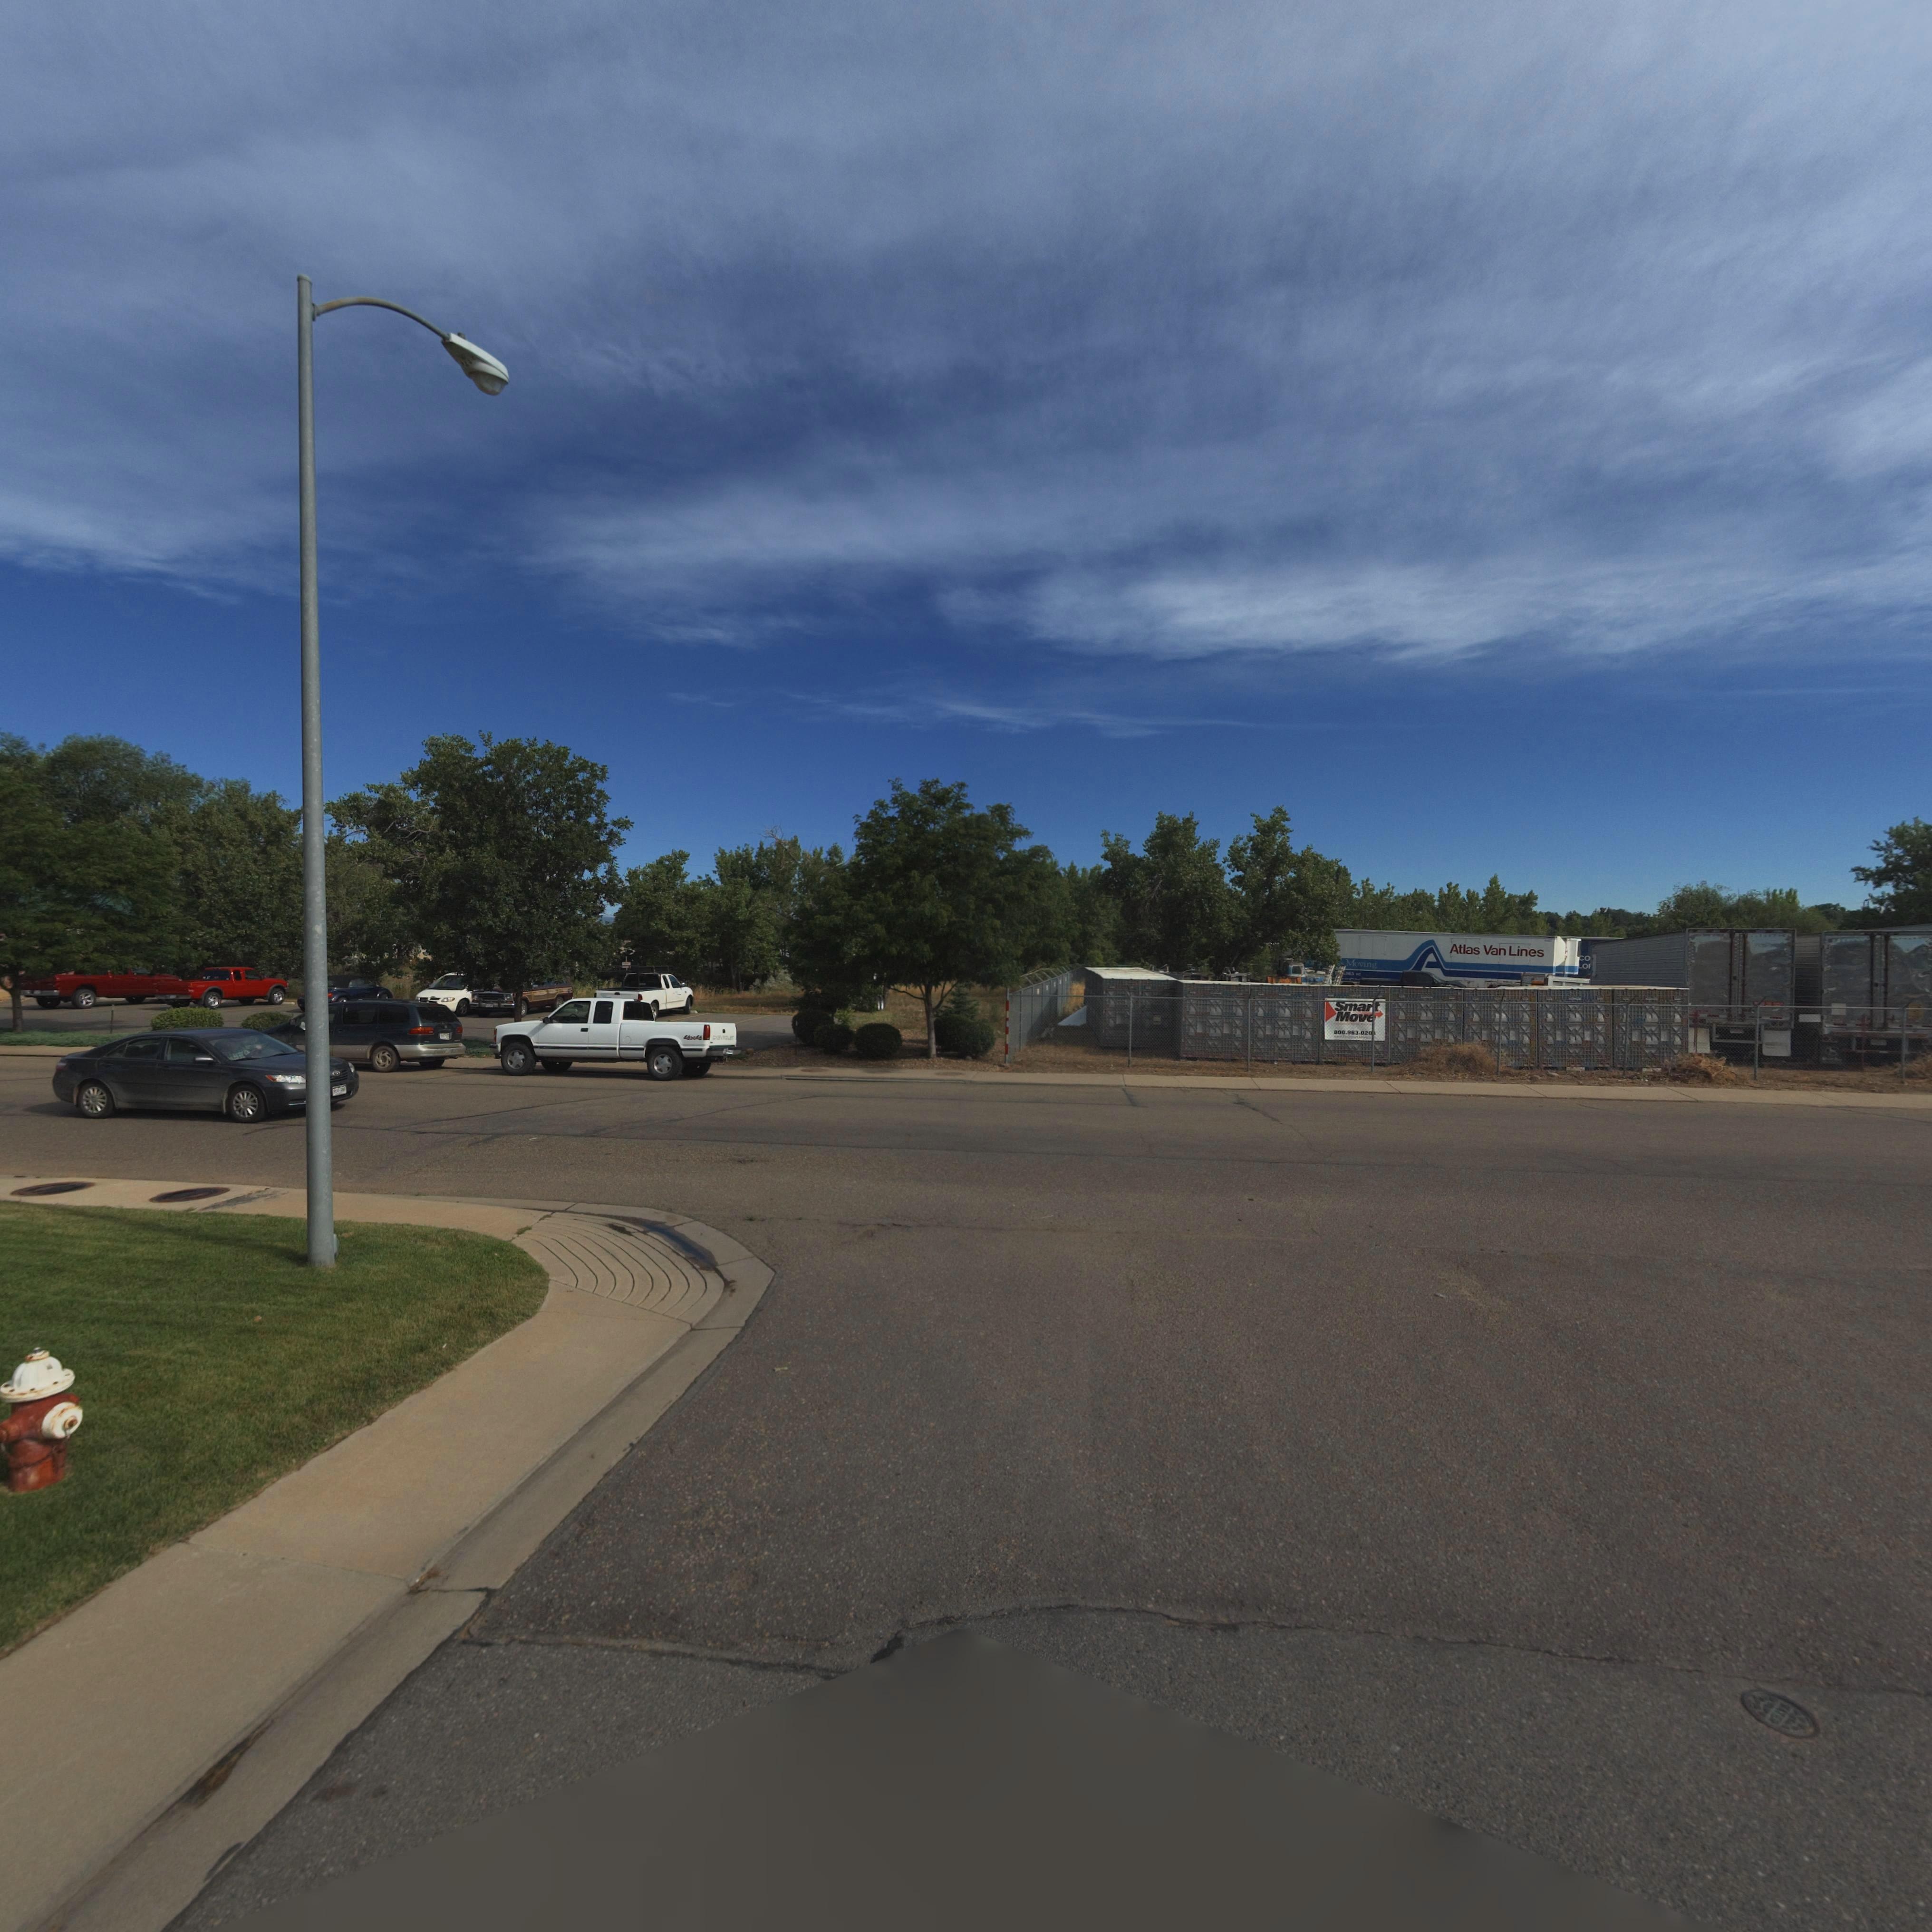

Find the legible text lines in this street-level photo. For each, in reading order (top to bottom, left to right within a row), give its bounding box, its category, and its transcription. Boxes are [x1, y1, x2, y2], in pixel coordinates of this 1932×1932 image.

[1333, 1000, 1381, 1012] BusinessName: Smart
[1334, 1011, 1376, 1022] BusinessName: Move